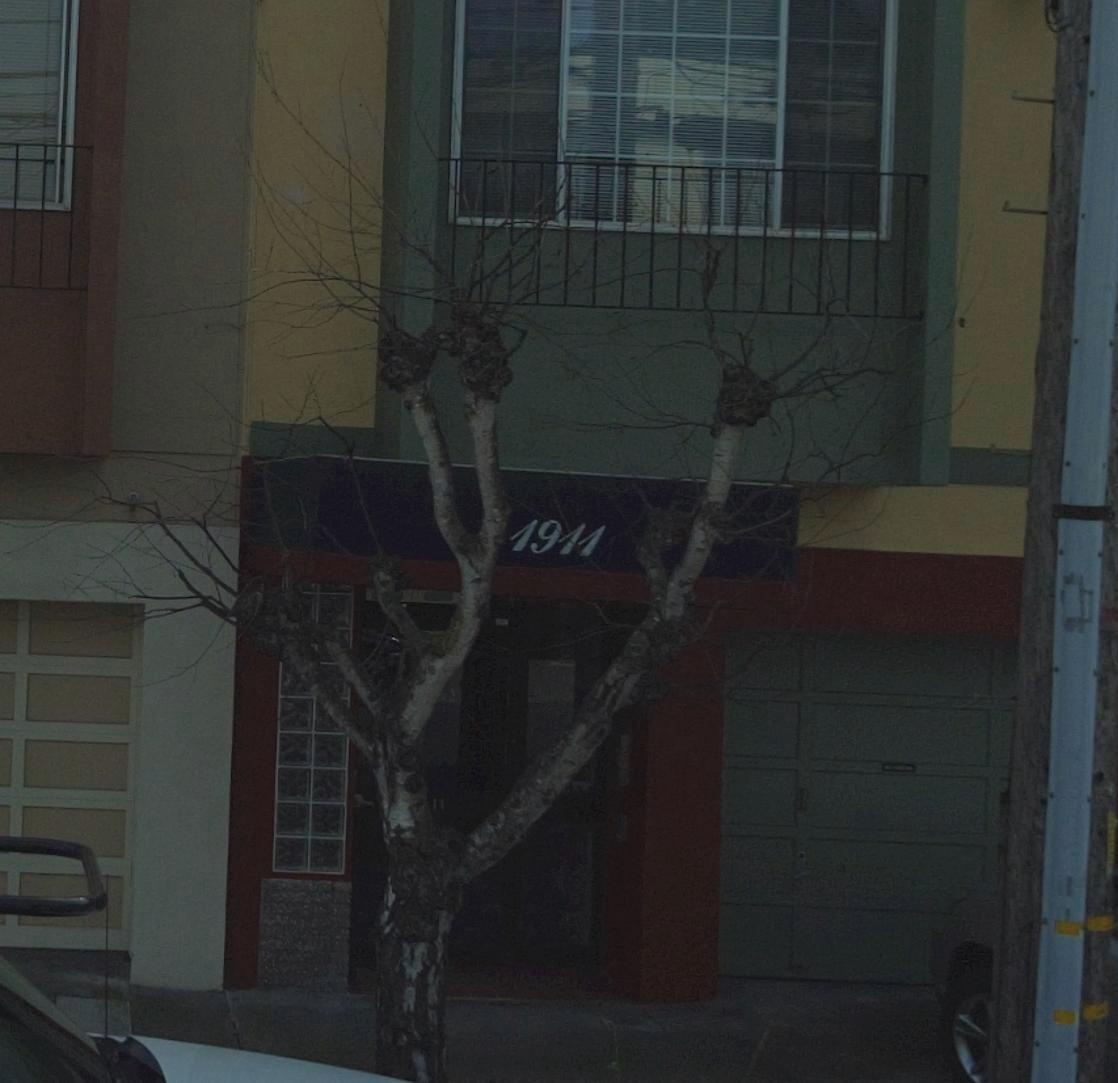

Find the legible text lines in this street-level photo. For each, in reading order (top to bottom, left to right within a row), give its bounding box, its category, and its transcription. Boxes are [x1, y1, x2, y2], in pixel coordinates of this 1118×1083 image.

[504, 515, 613, 563] StreetNumber: 1911